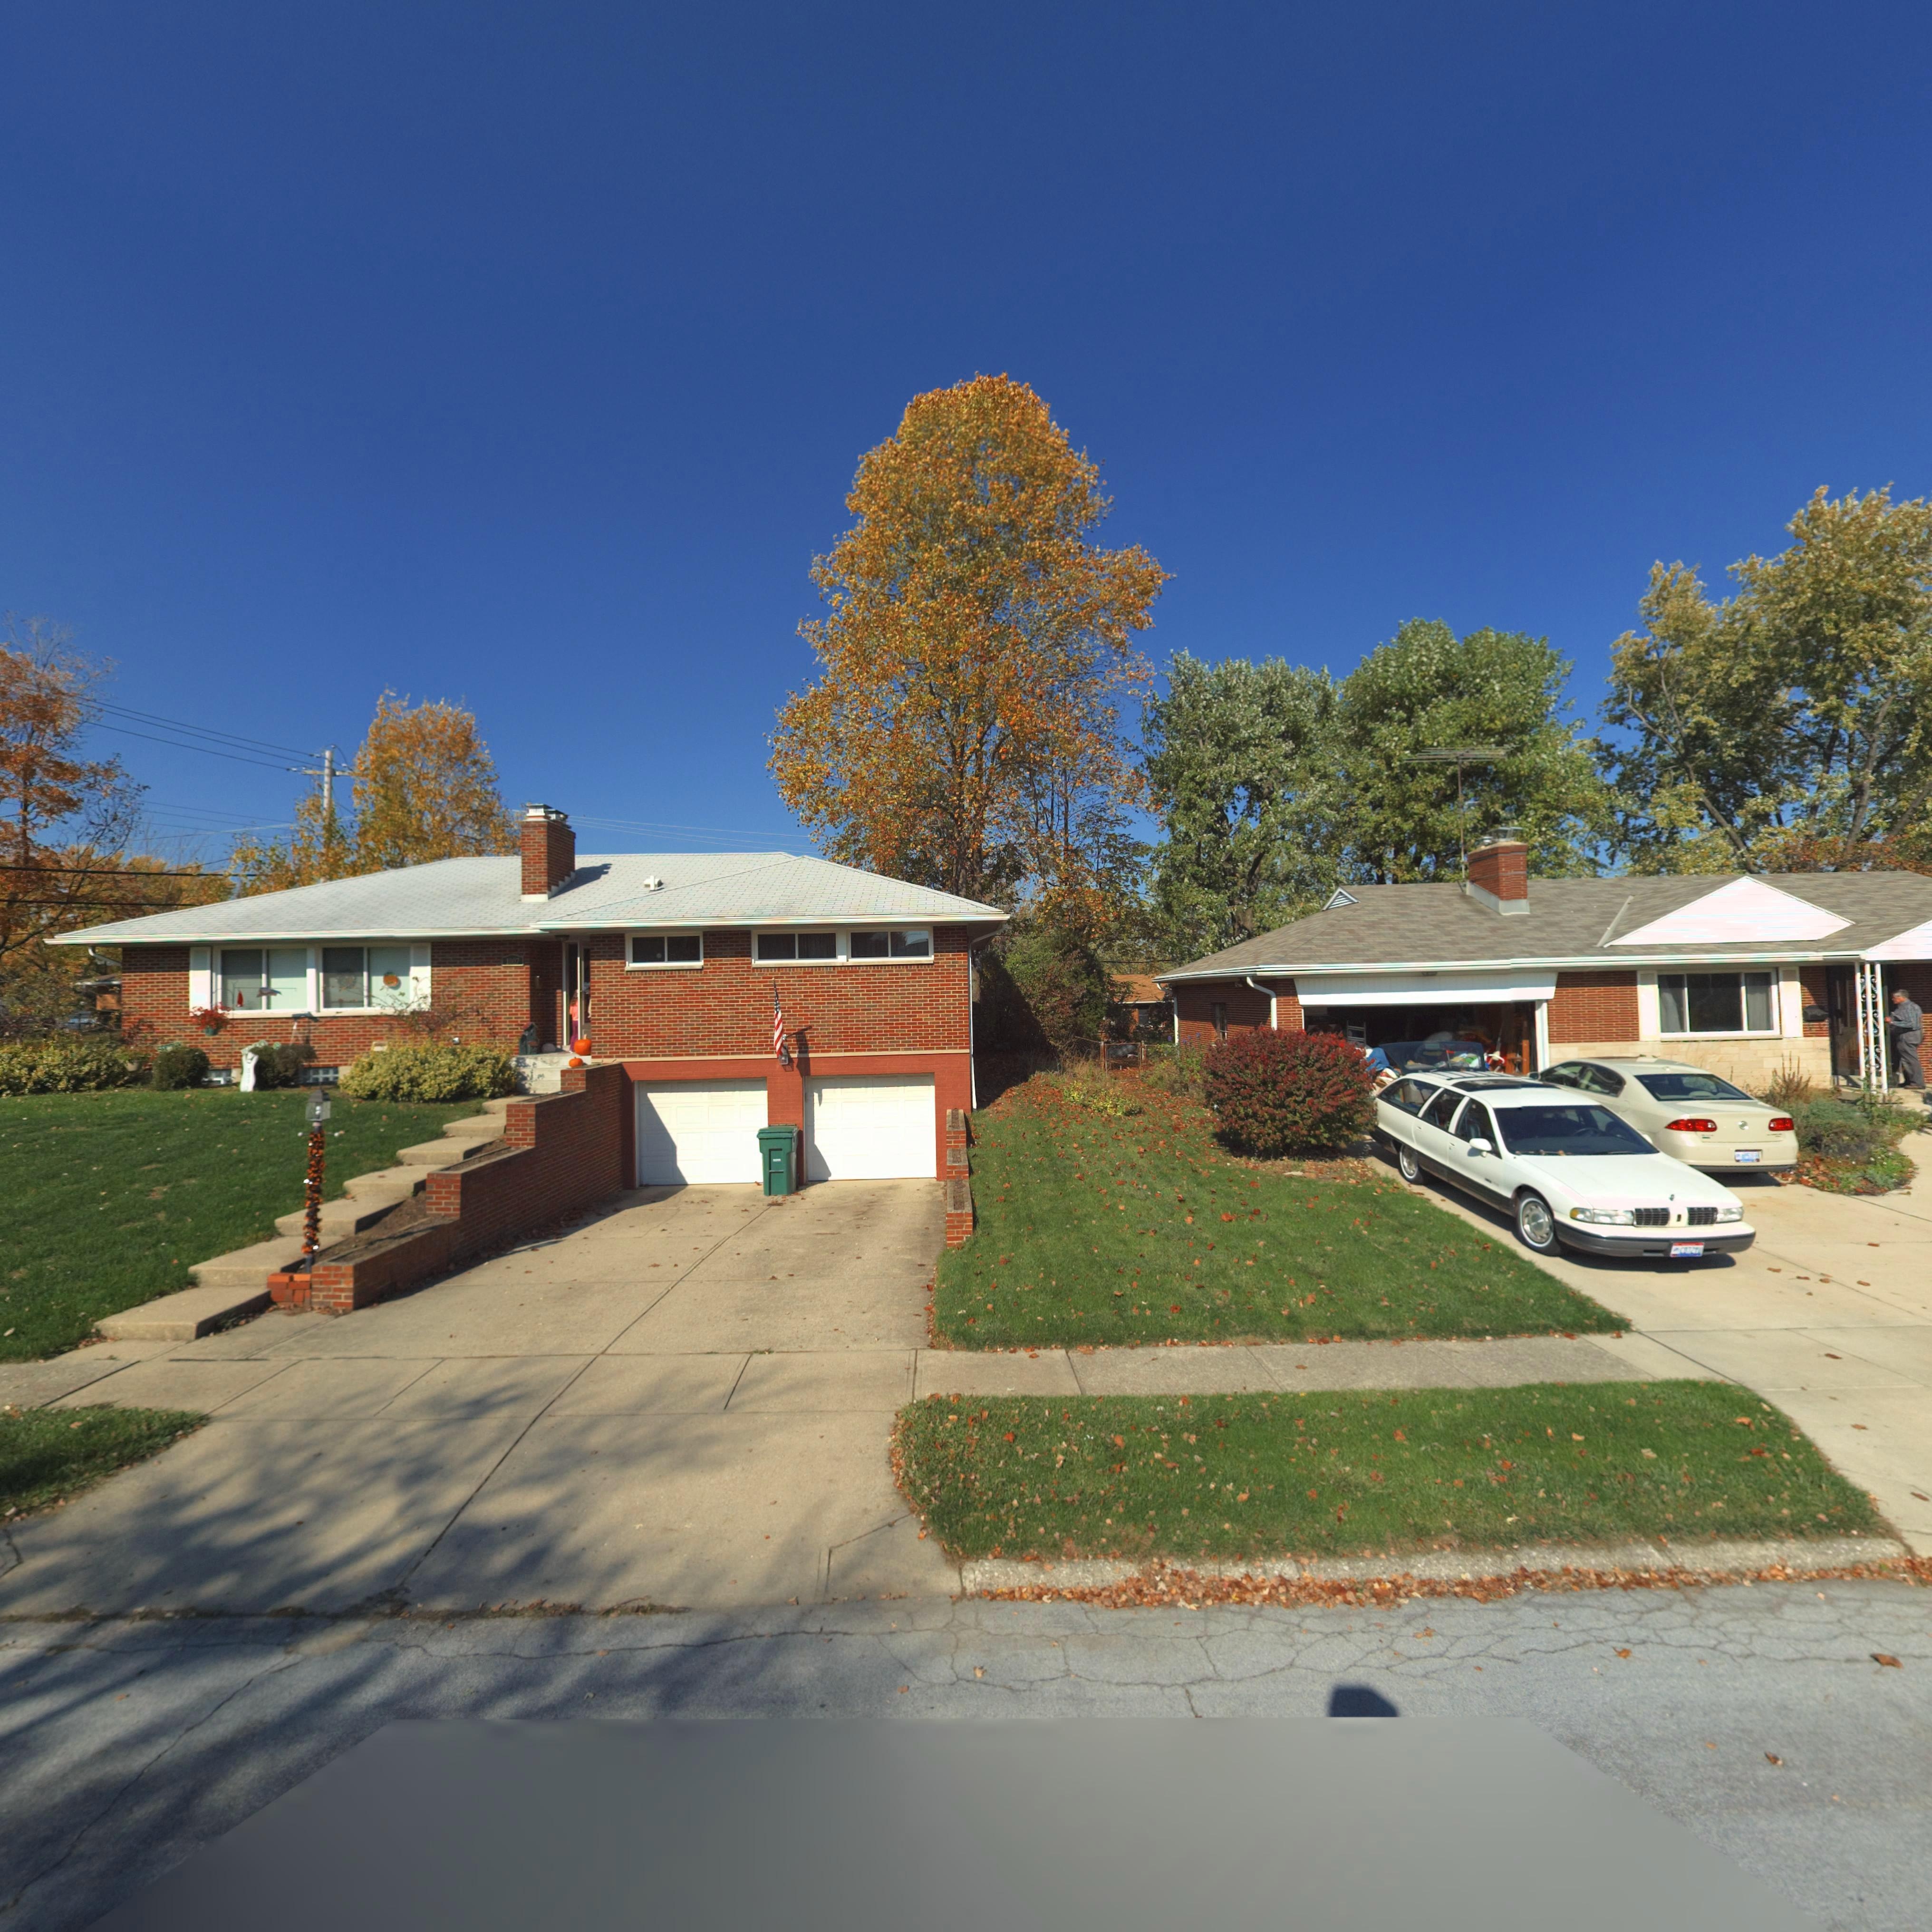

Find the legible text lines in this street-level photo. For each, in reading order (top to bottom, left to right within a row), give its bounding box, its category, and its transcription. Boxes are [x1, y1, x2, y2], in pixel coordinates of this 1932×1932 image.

[505, 957, 520, 964] StreetNumber: 1007